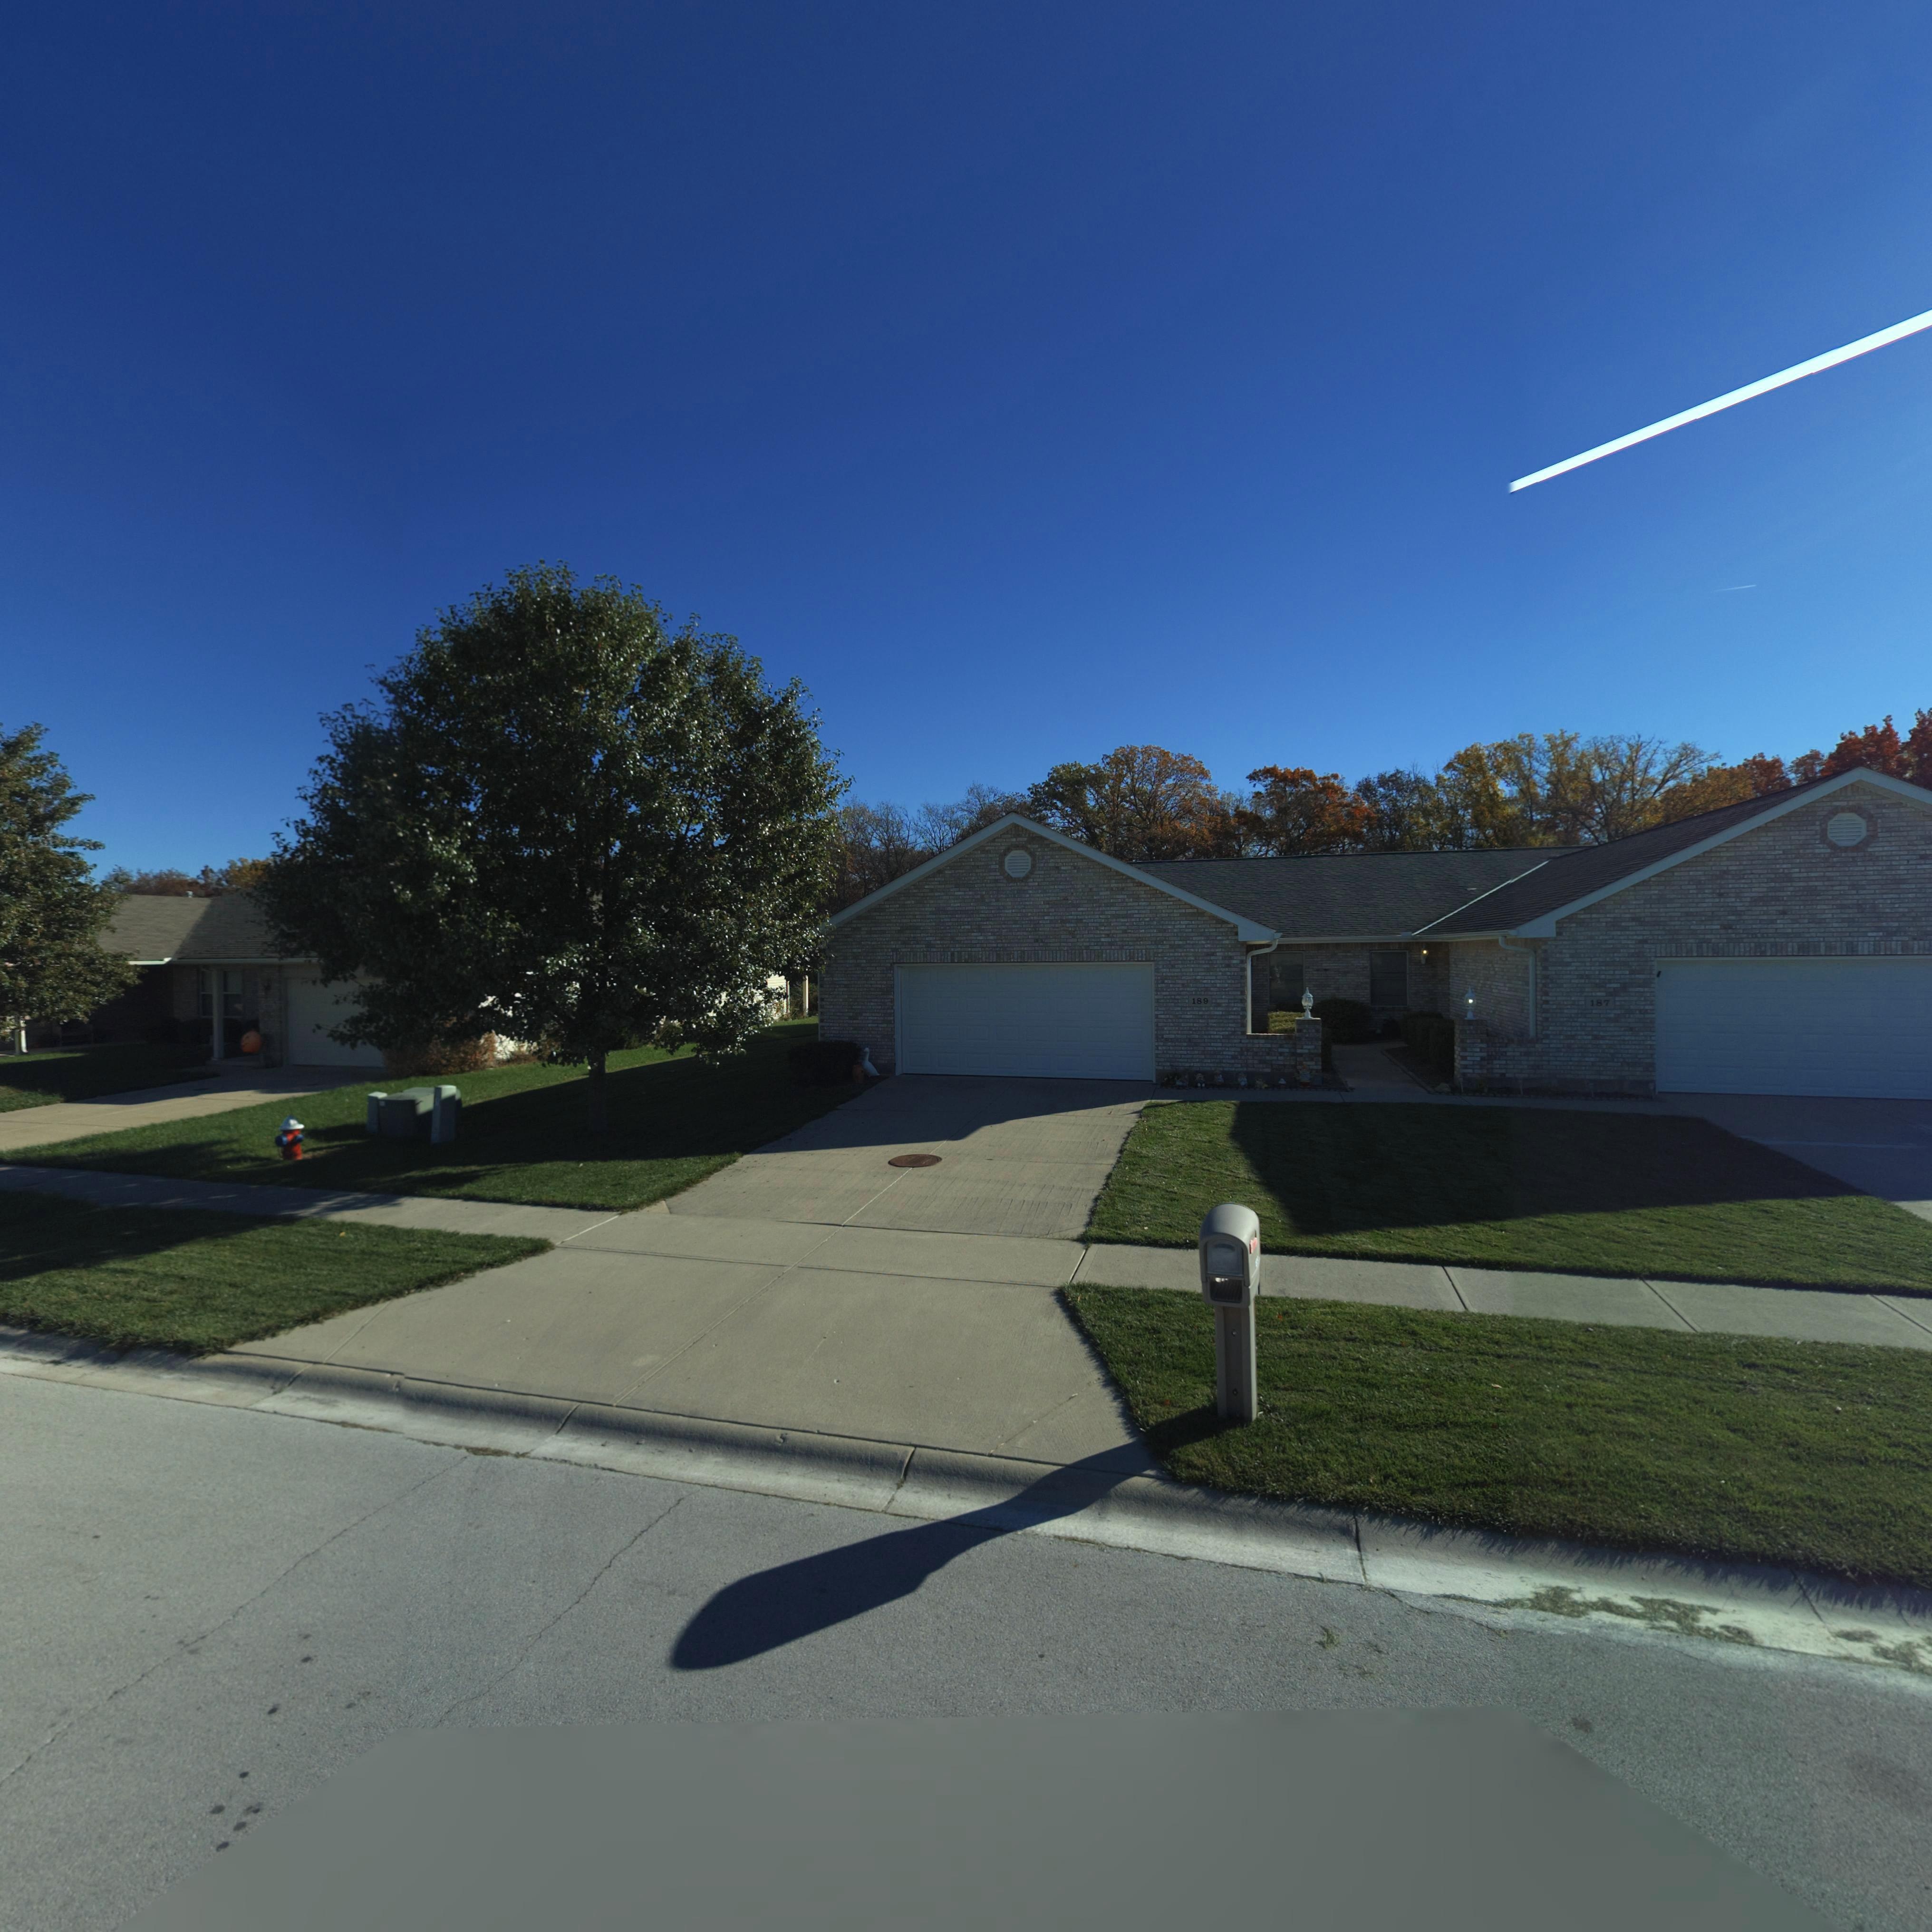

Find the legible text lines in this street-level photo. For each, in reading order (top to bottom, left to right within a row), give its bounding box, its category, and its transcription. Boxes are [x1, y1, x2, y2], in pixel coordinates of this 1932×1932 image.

[1191, 997, 1209, 1005] StreetNumber: 189
[1589, 999, 1611, 1007] StreetNumber: 187